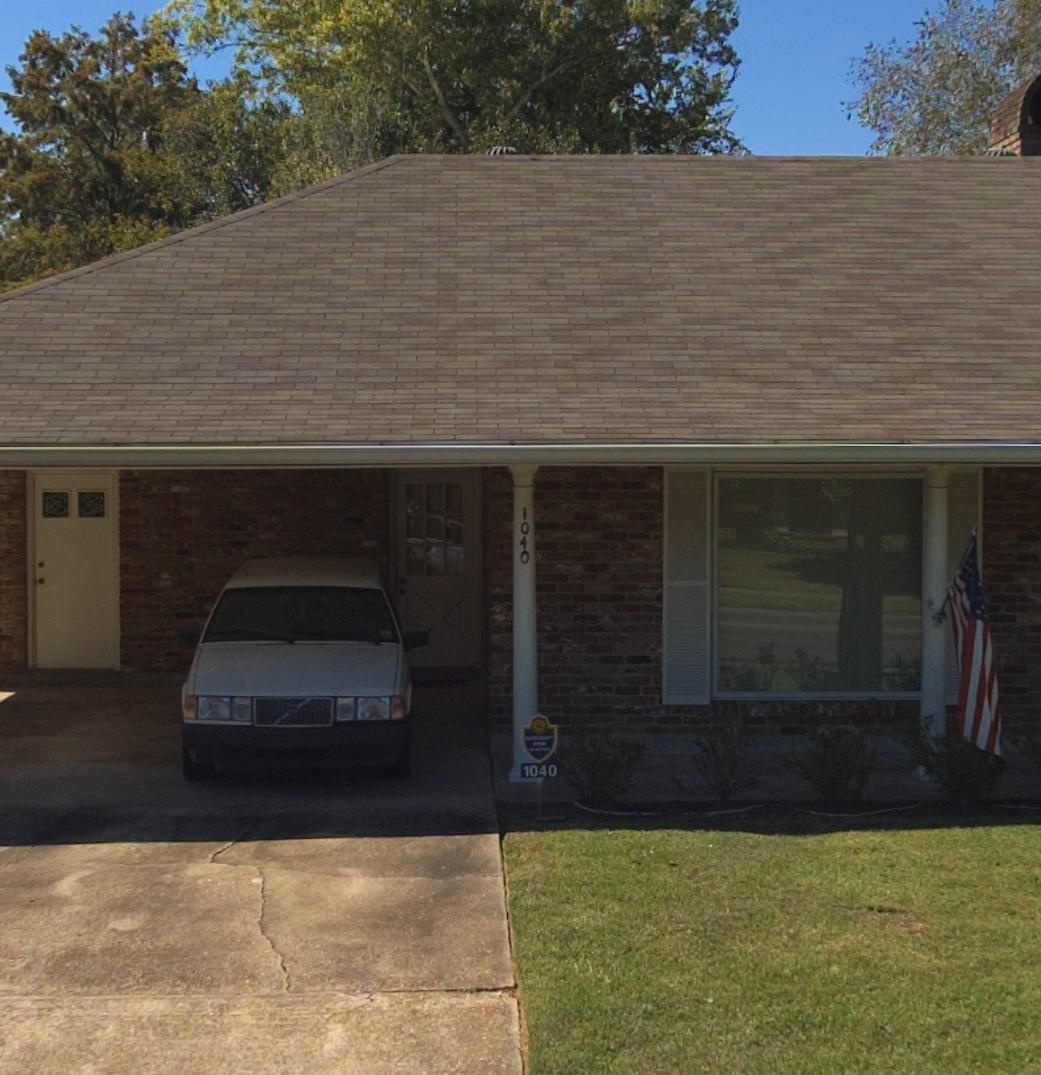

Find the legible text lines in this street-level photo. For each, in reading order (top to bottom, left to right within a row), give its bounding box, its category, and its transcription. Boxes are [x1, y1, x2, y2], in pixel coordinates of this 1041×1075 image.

[518, 504, 532, 567] StreetNumber: 1040
[522, 763, 559, 779] StreetNumber: 1040